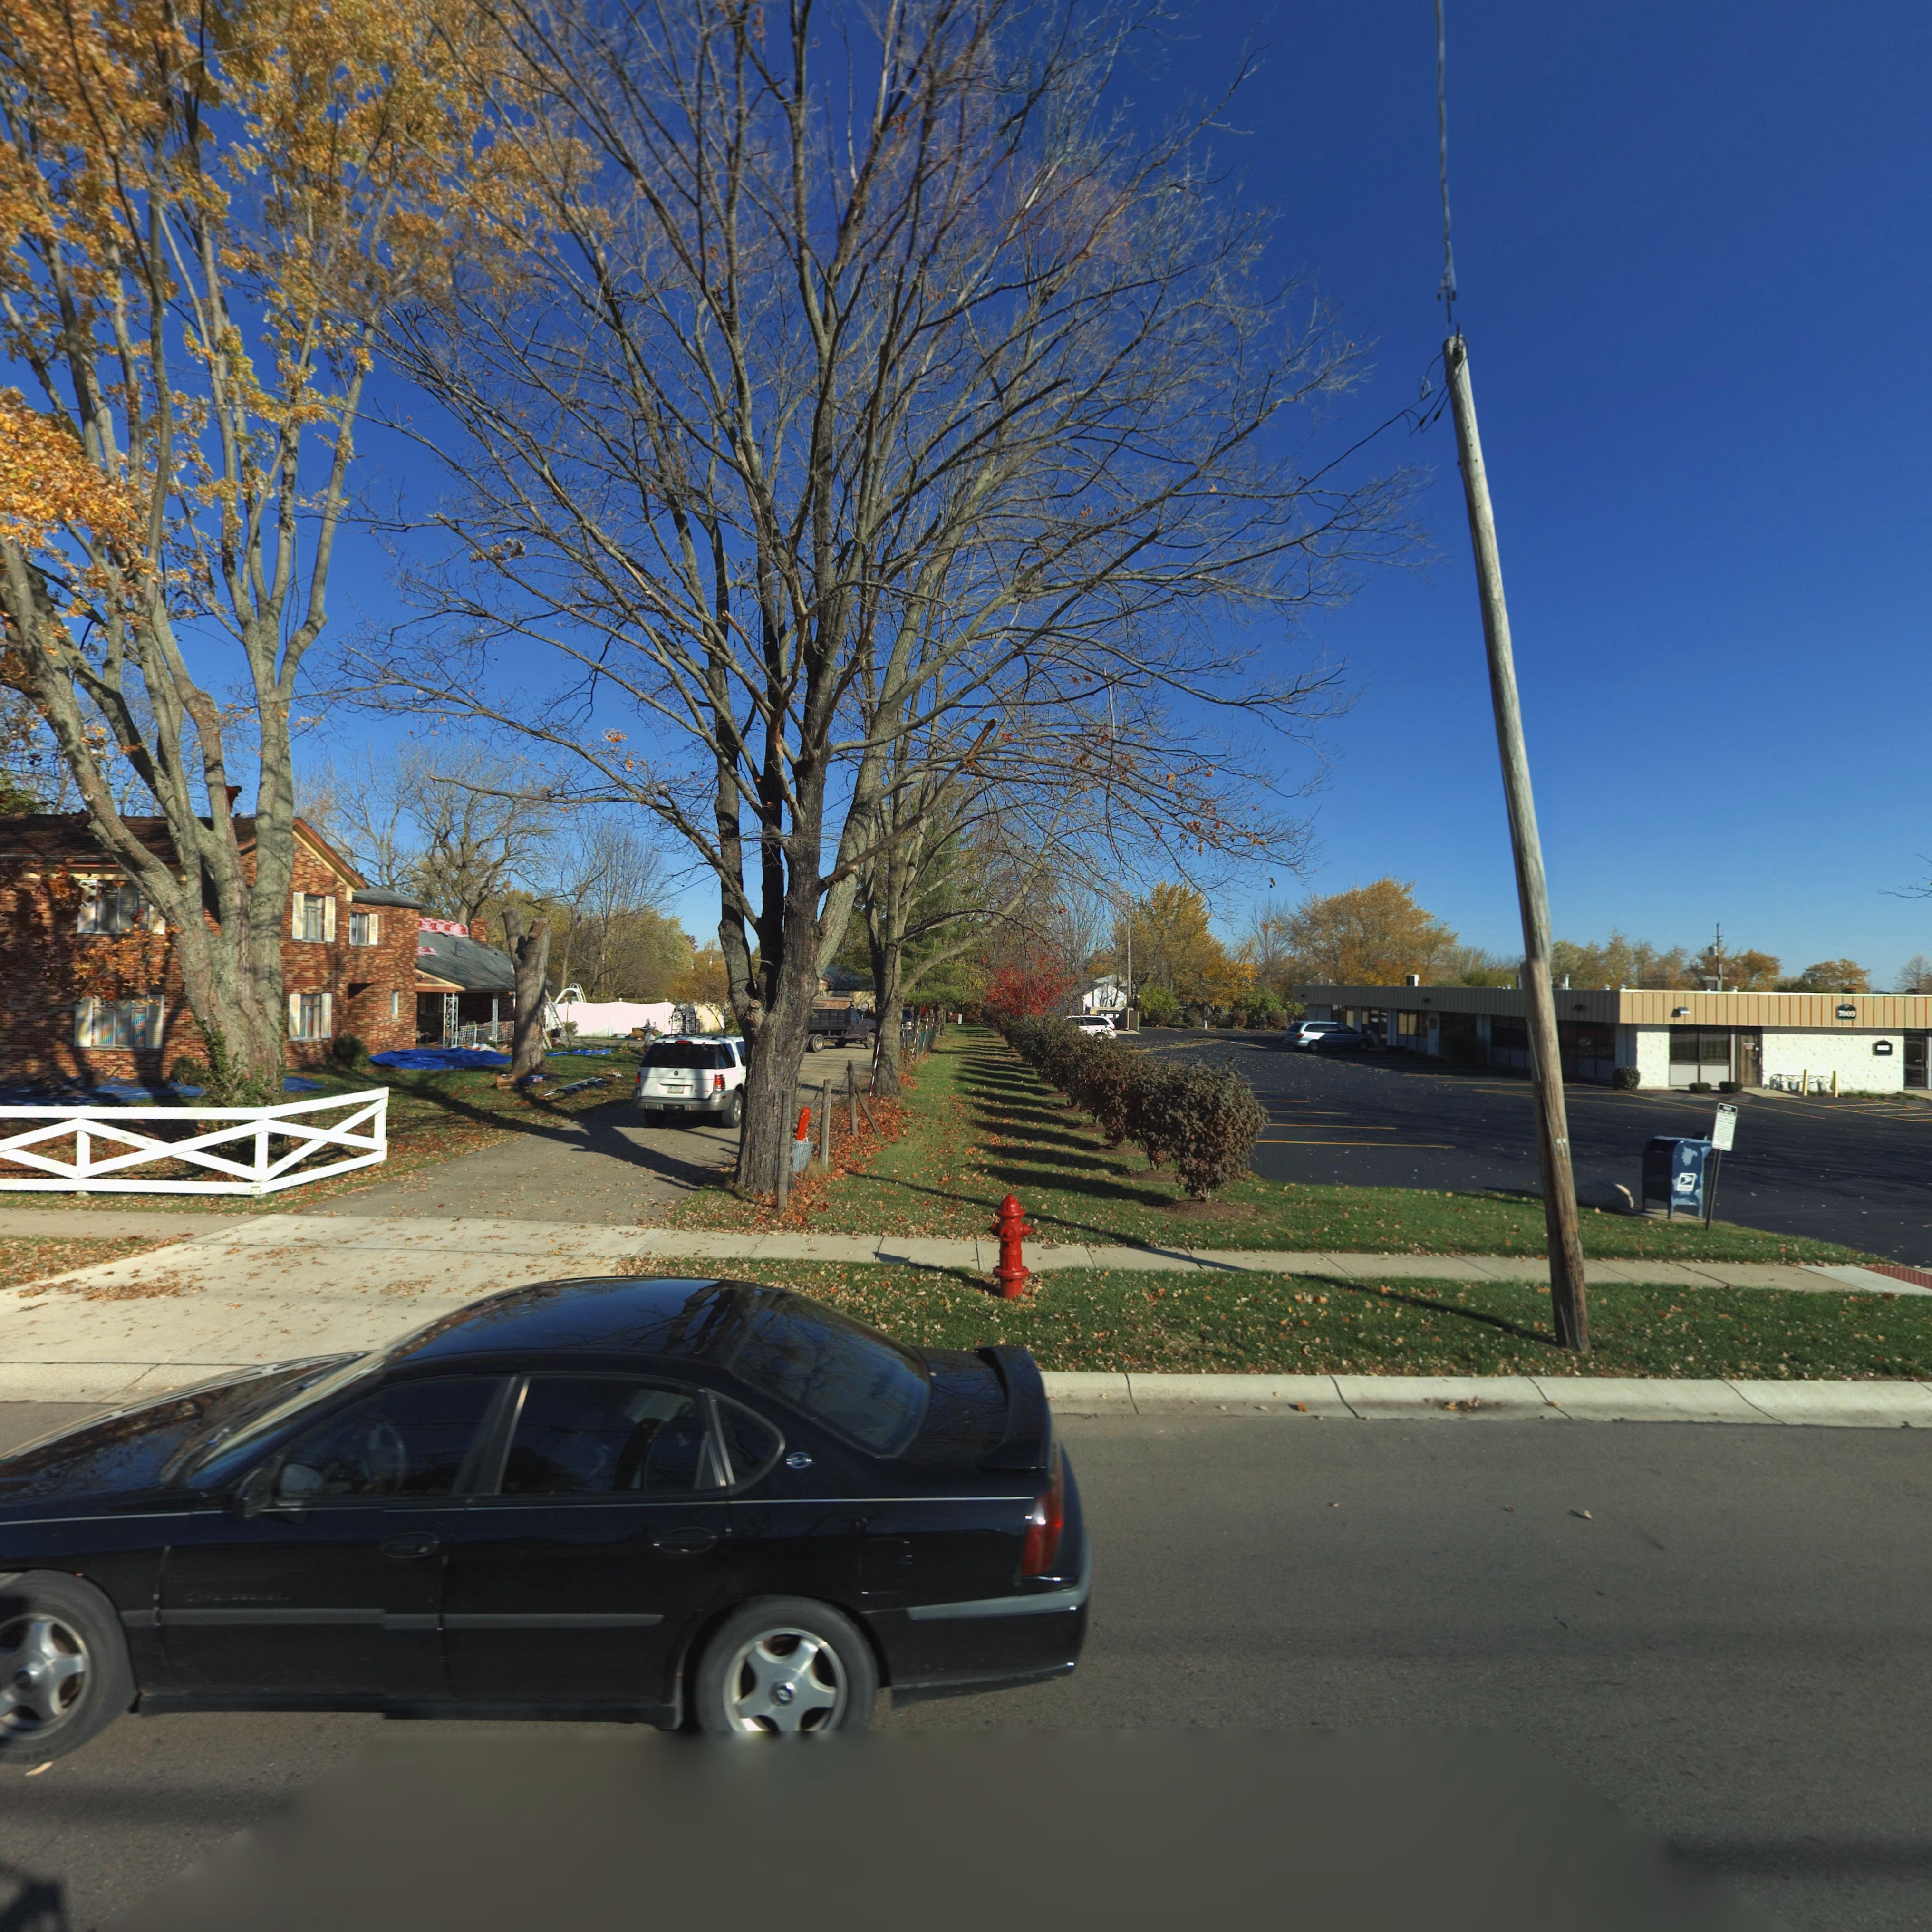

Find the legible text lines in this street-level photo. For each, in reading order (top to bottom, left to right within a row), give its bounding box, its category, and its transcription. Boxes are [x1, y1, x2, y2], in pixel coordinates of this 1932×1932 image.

[1837, 1009, 1856, 1018] StreetNumber: 7*09